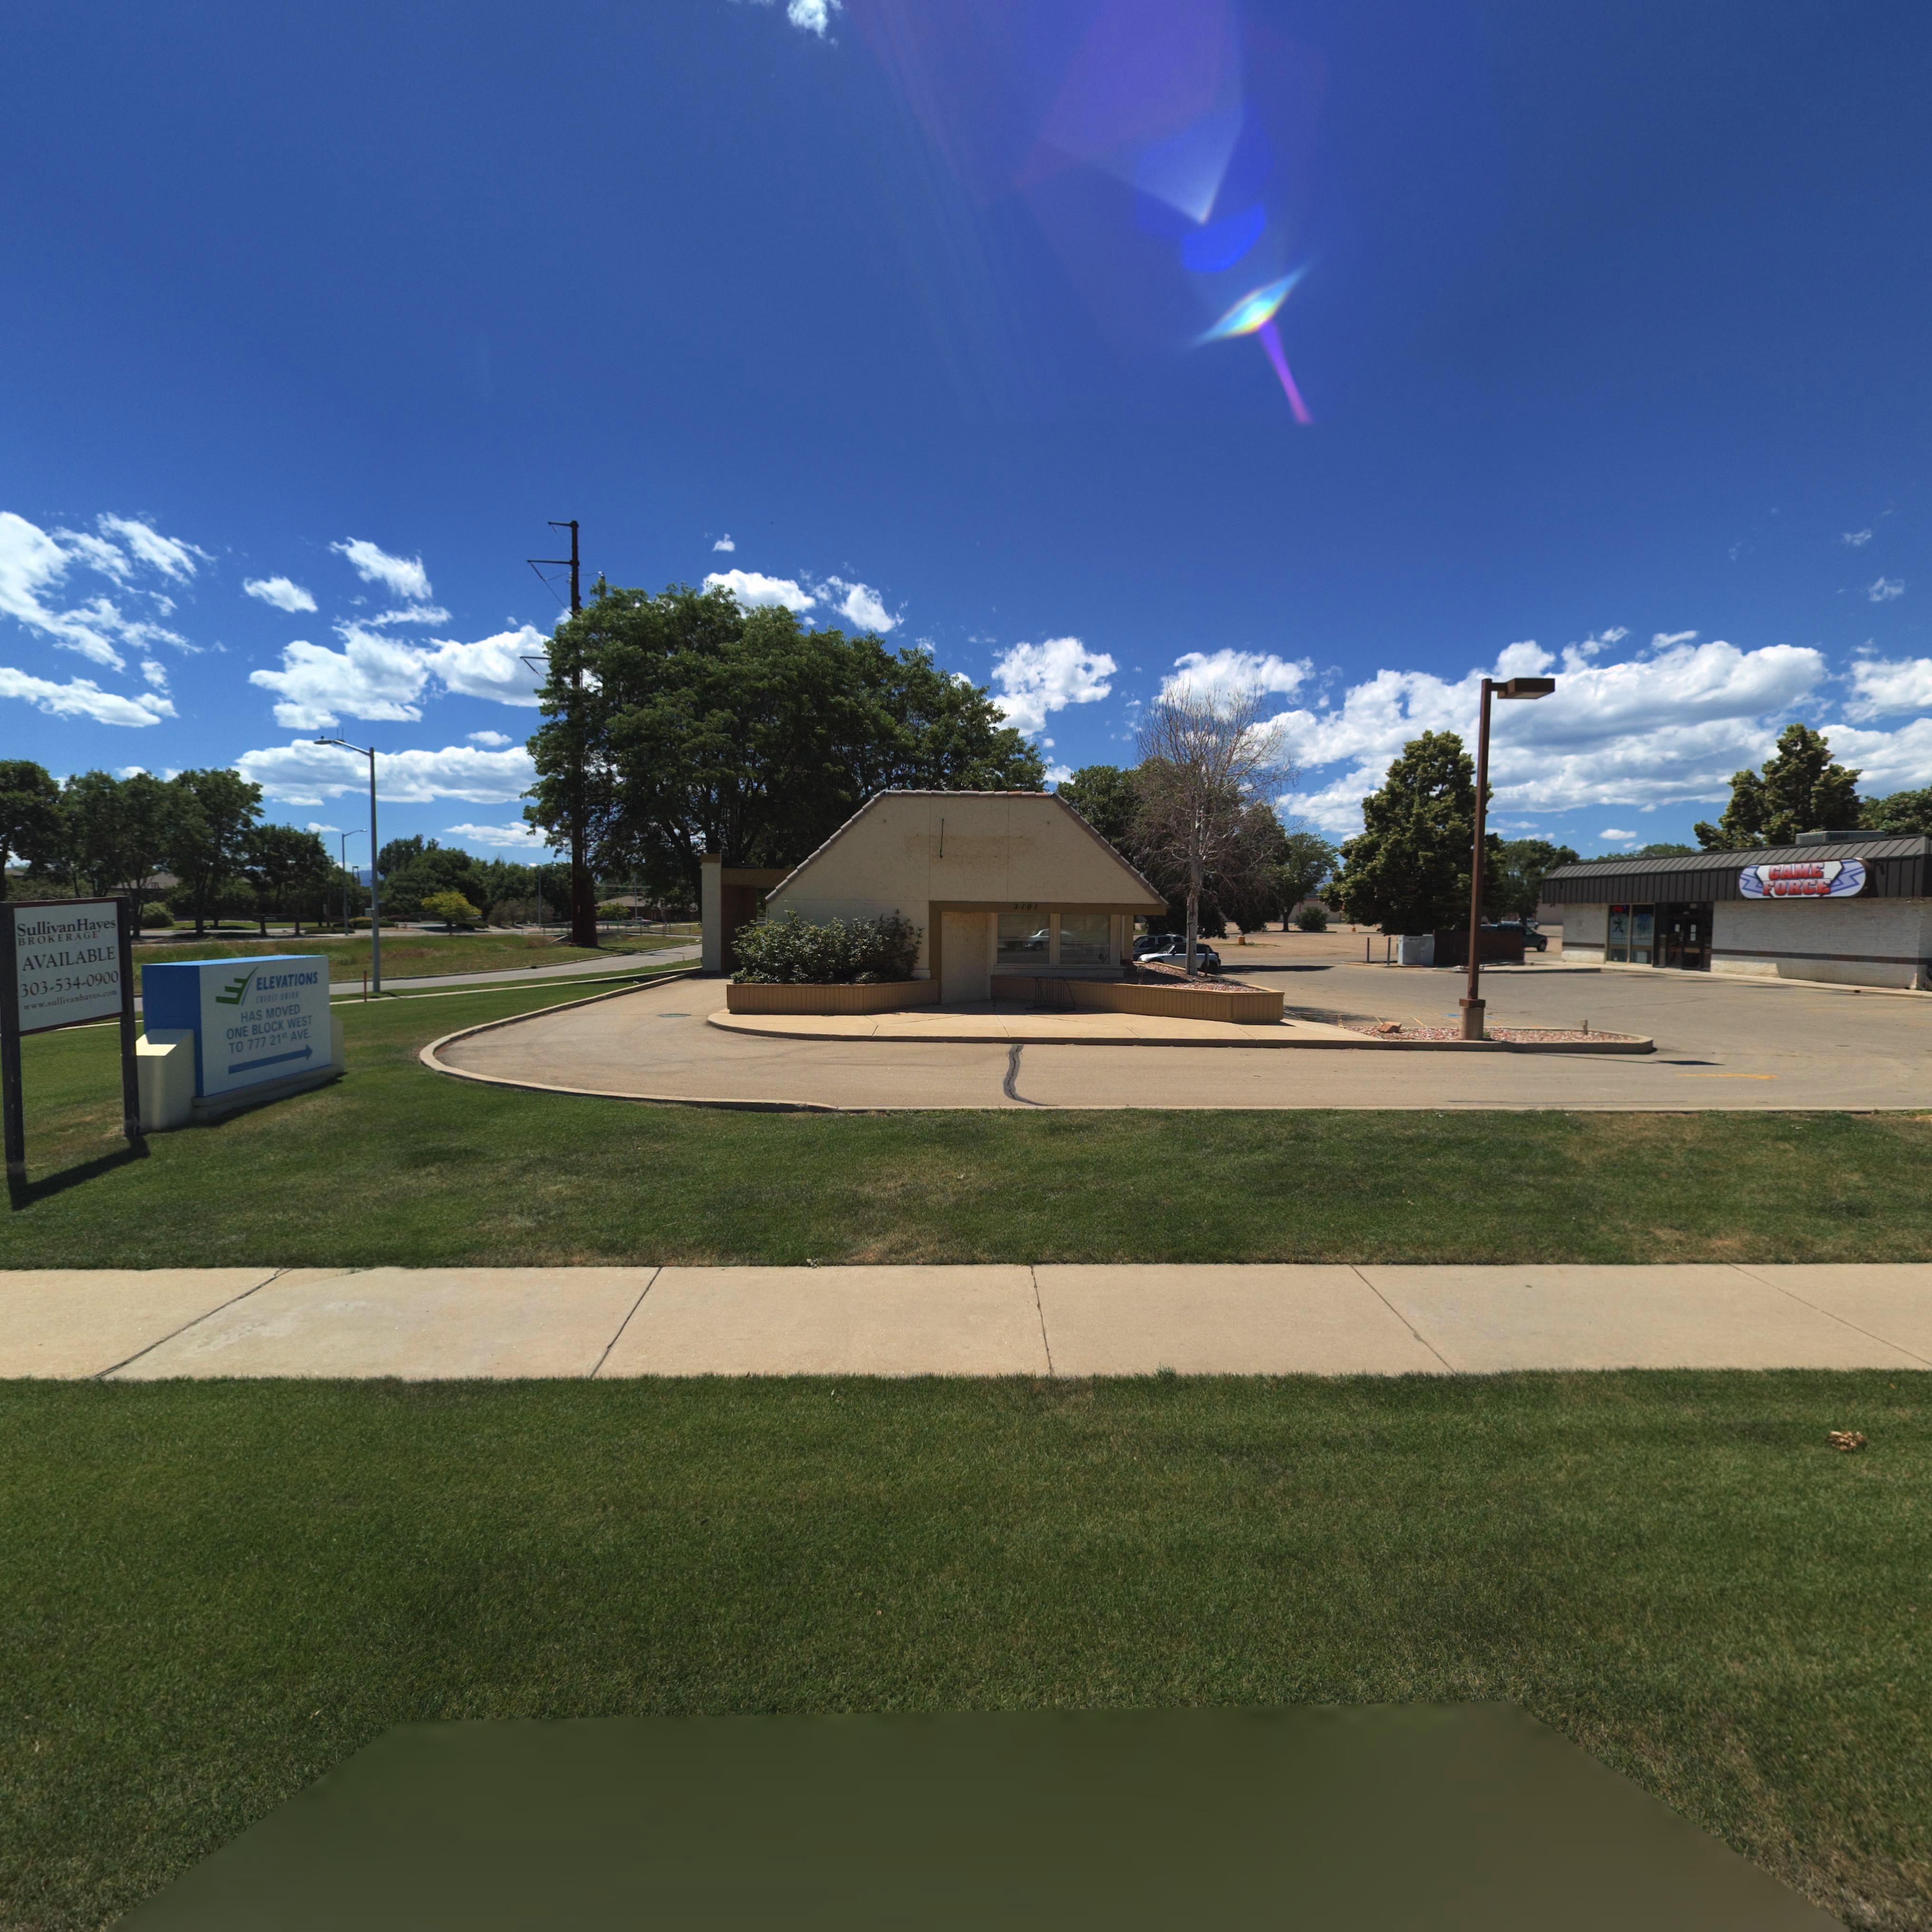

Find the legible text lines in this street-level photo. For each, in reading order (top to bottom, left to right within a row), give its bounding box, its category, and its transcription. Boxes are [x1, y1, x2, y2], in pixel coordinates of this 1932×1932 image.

[1768, 861, 1825, 880] BusinessName: GAME
[1761, 878, 1831, 896] BusinessName: FORCE
[1012, 902, 1038, 910] StreetNumber: 2101